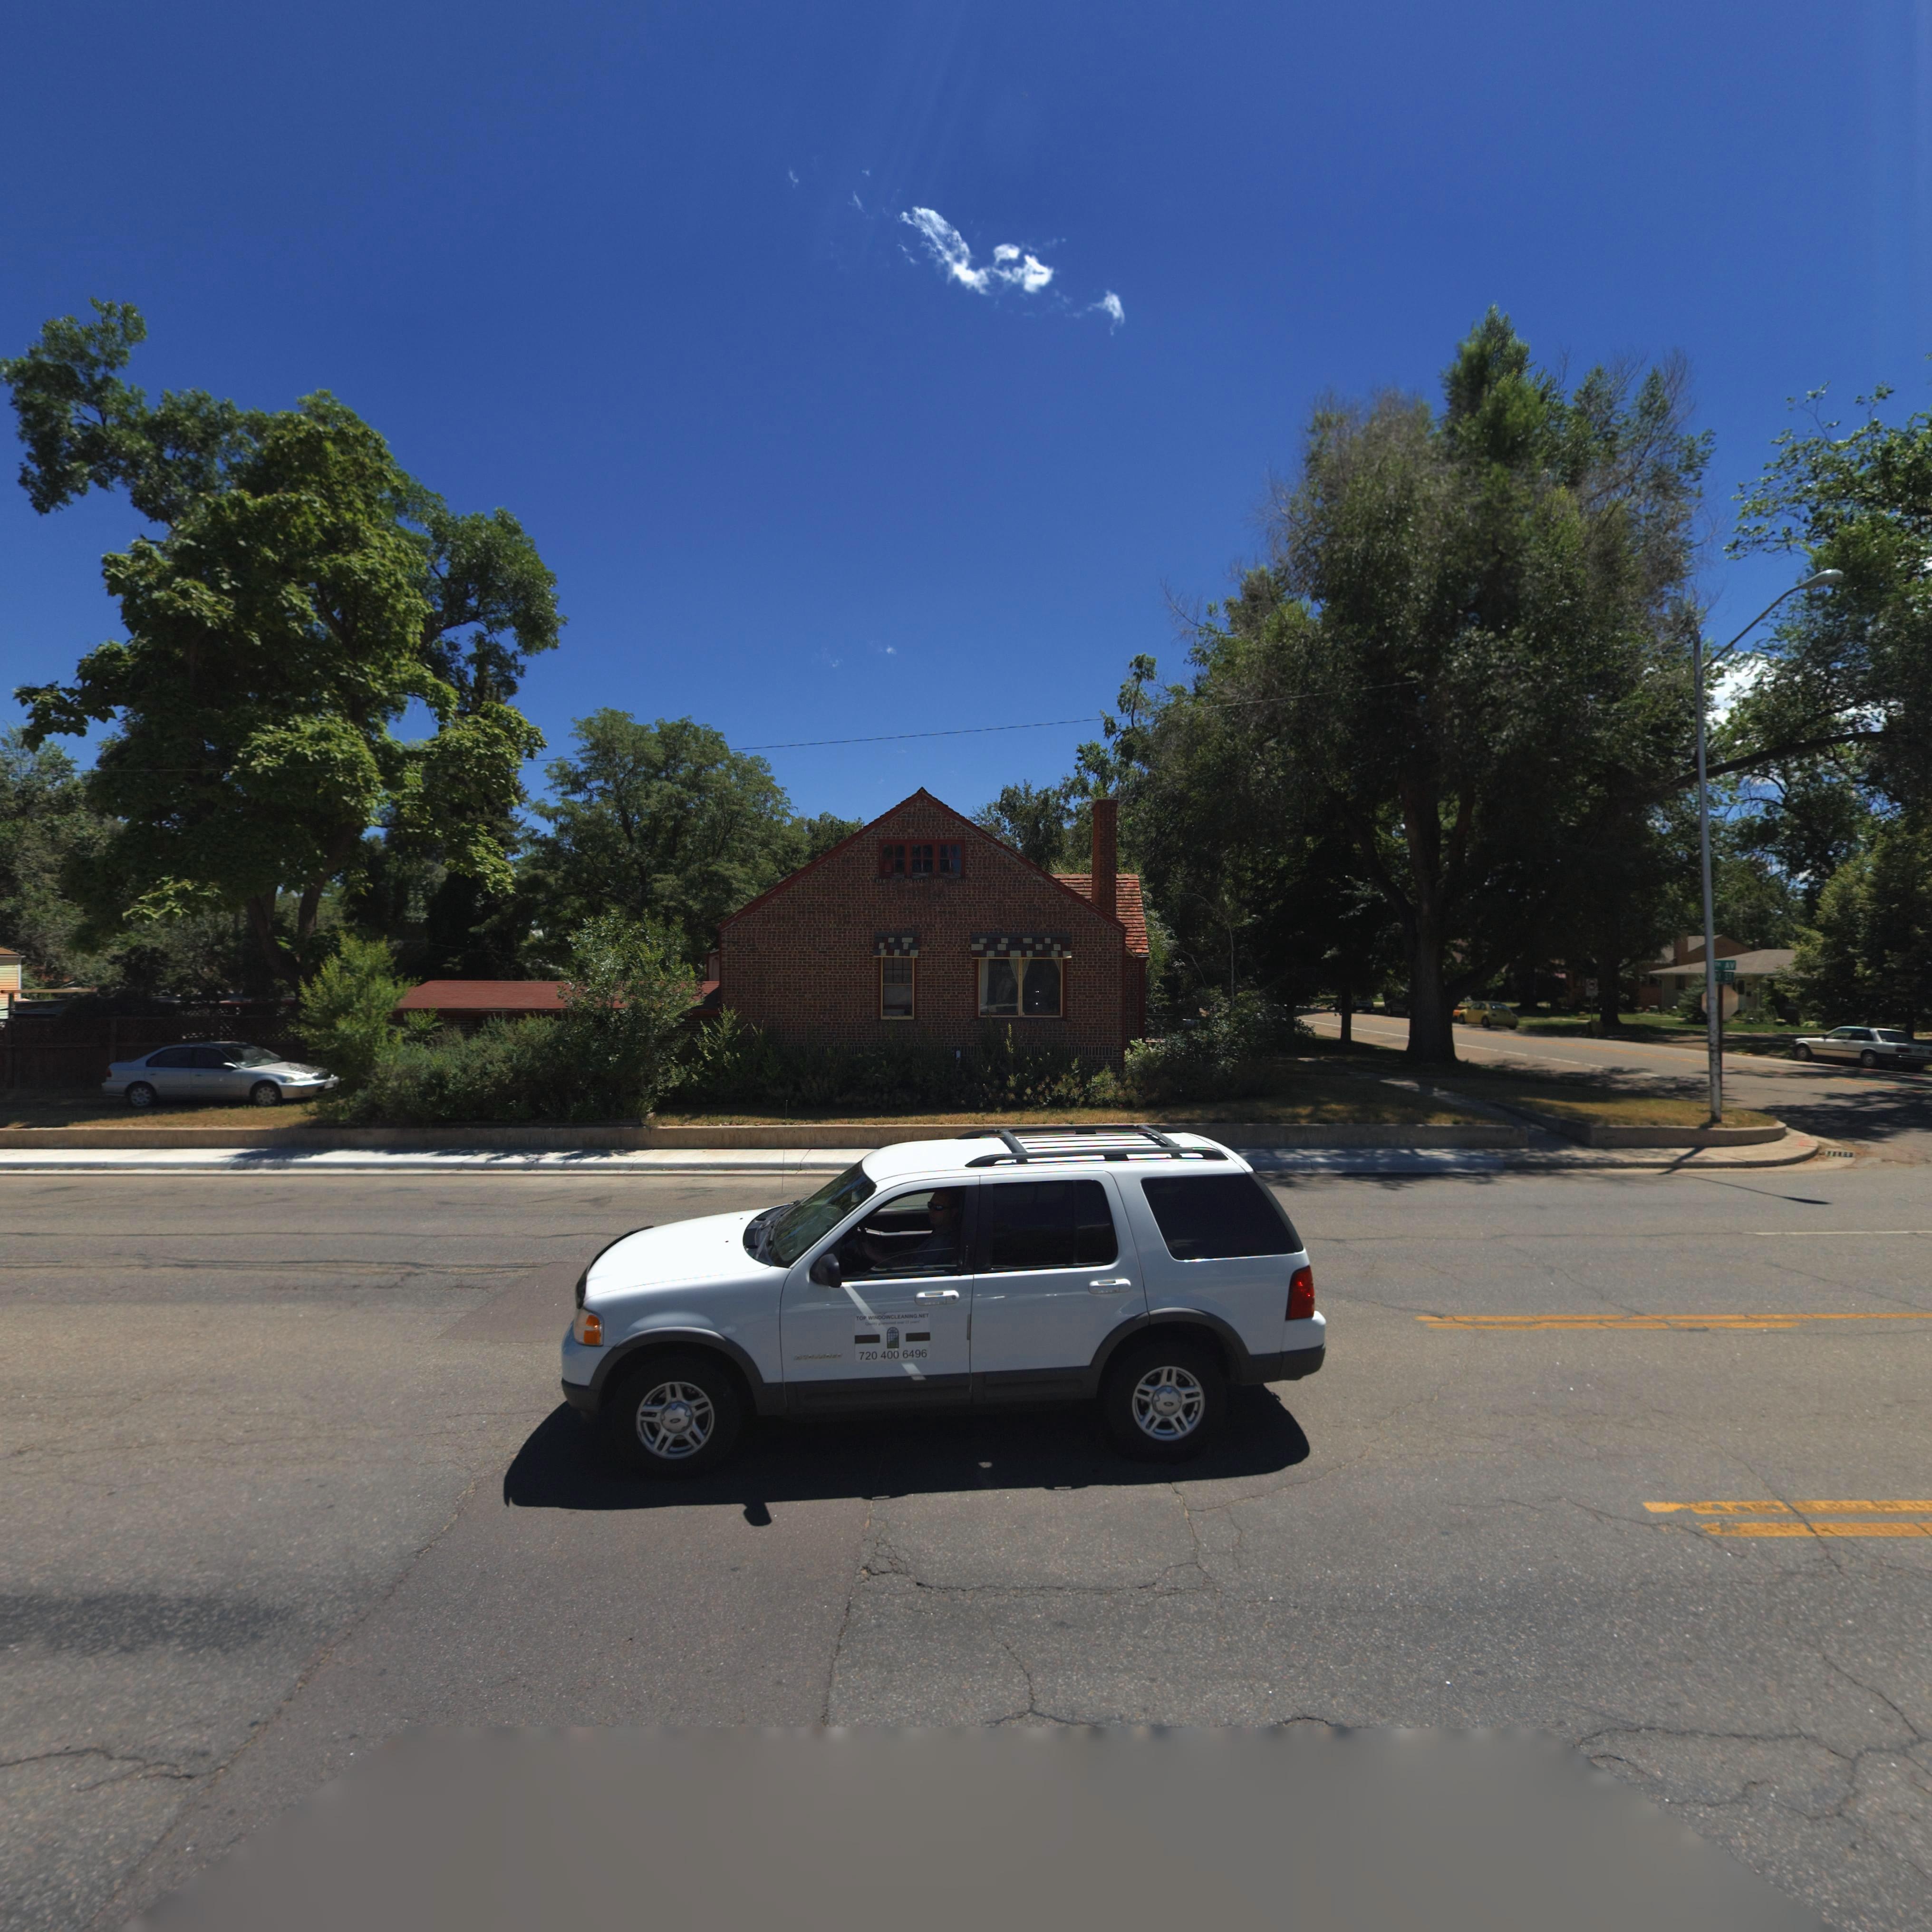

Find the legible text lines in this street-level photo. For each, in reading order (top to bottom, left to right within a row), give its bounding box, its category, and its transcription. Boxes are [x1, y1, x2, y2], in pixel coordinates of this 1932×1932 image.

[1724, 961, 1735, 969] StreetName: AV
[1716, 972, 1732, 981] StreetName: Y ST